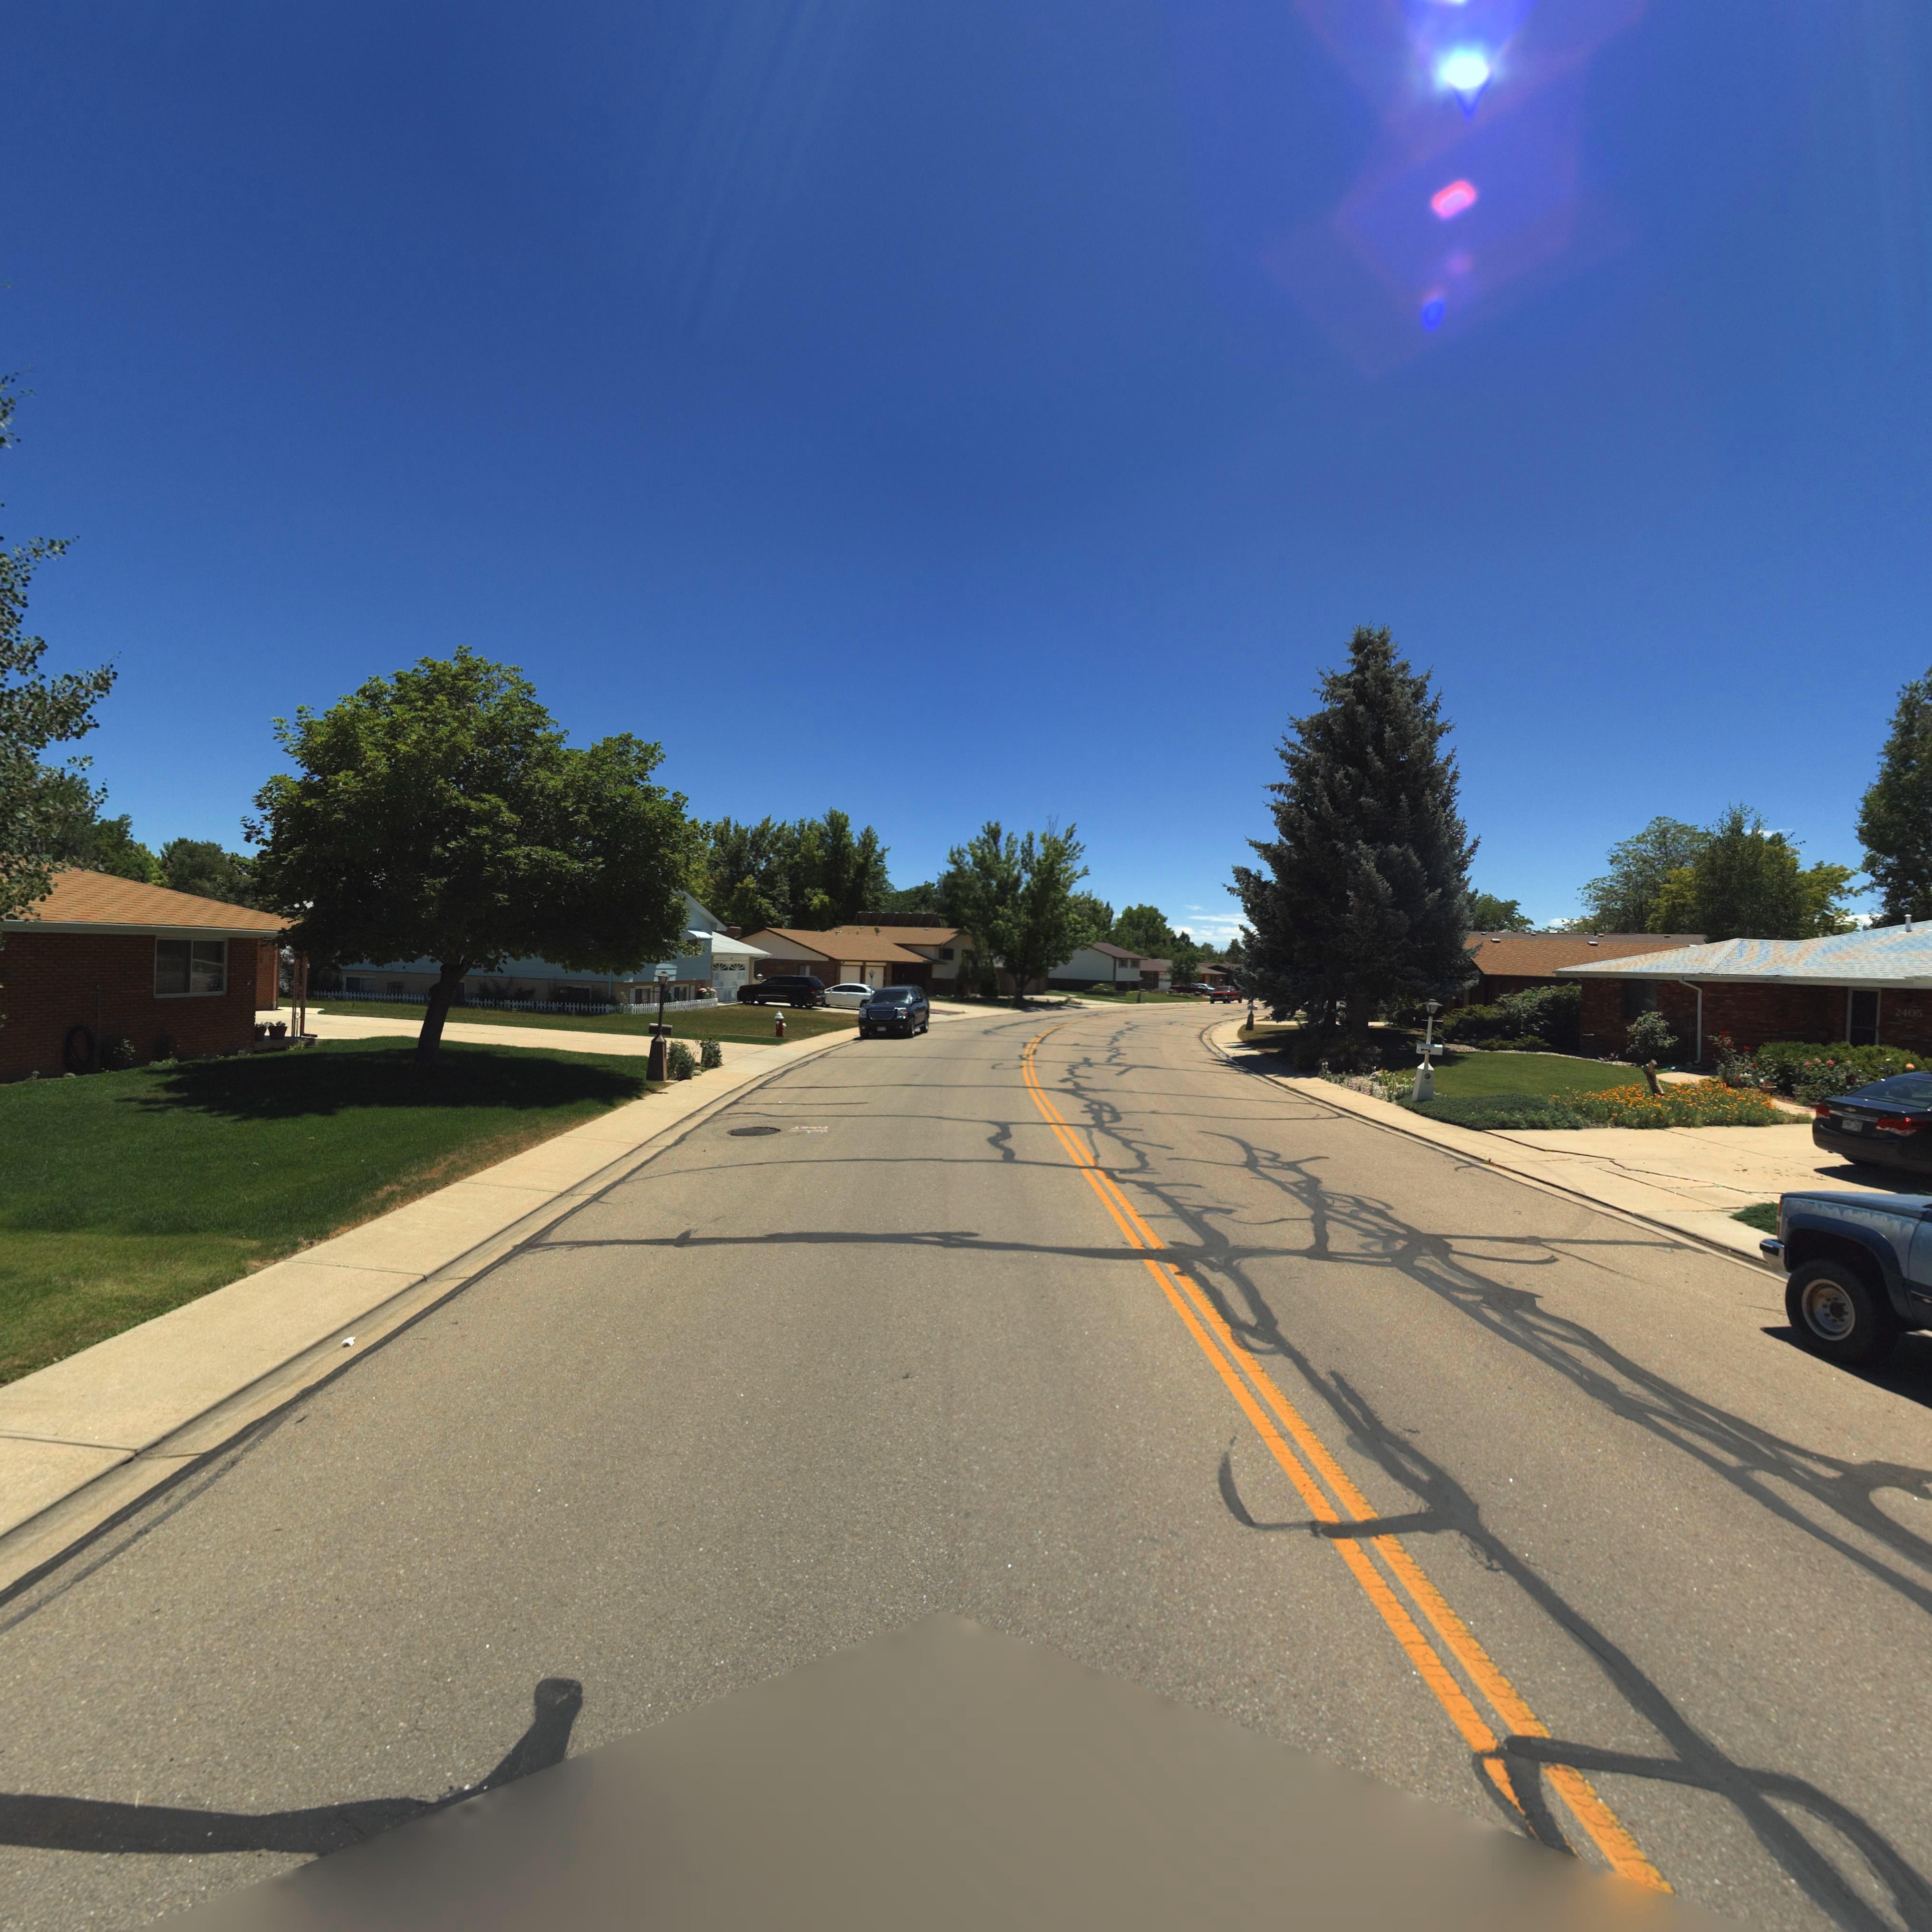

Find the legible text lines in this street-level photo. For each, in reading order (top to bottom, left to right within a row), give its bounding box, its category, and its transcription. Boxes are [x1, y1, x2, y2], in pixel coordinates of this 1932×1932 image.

[1894, 1008, 1923, 1018] StreetNumber: 2405